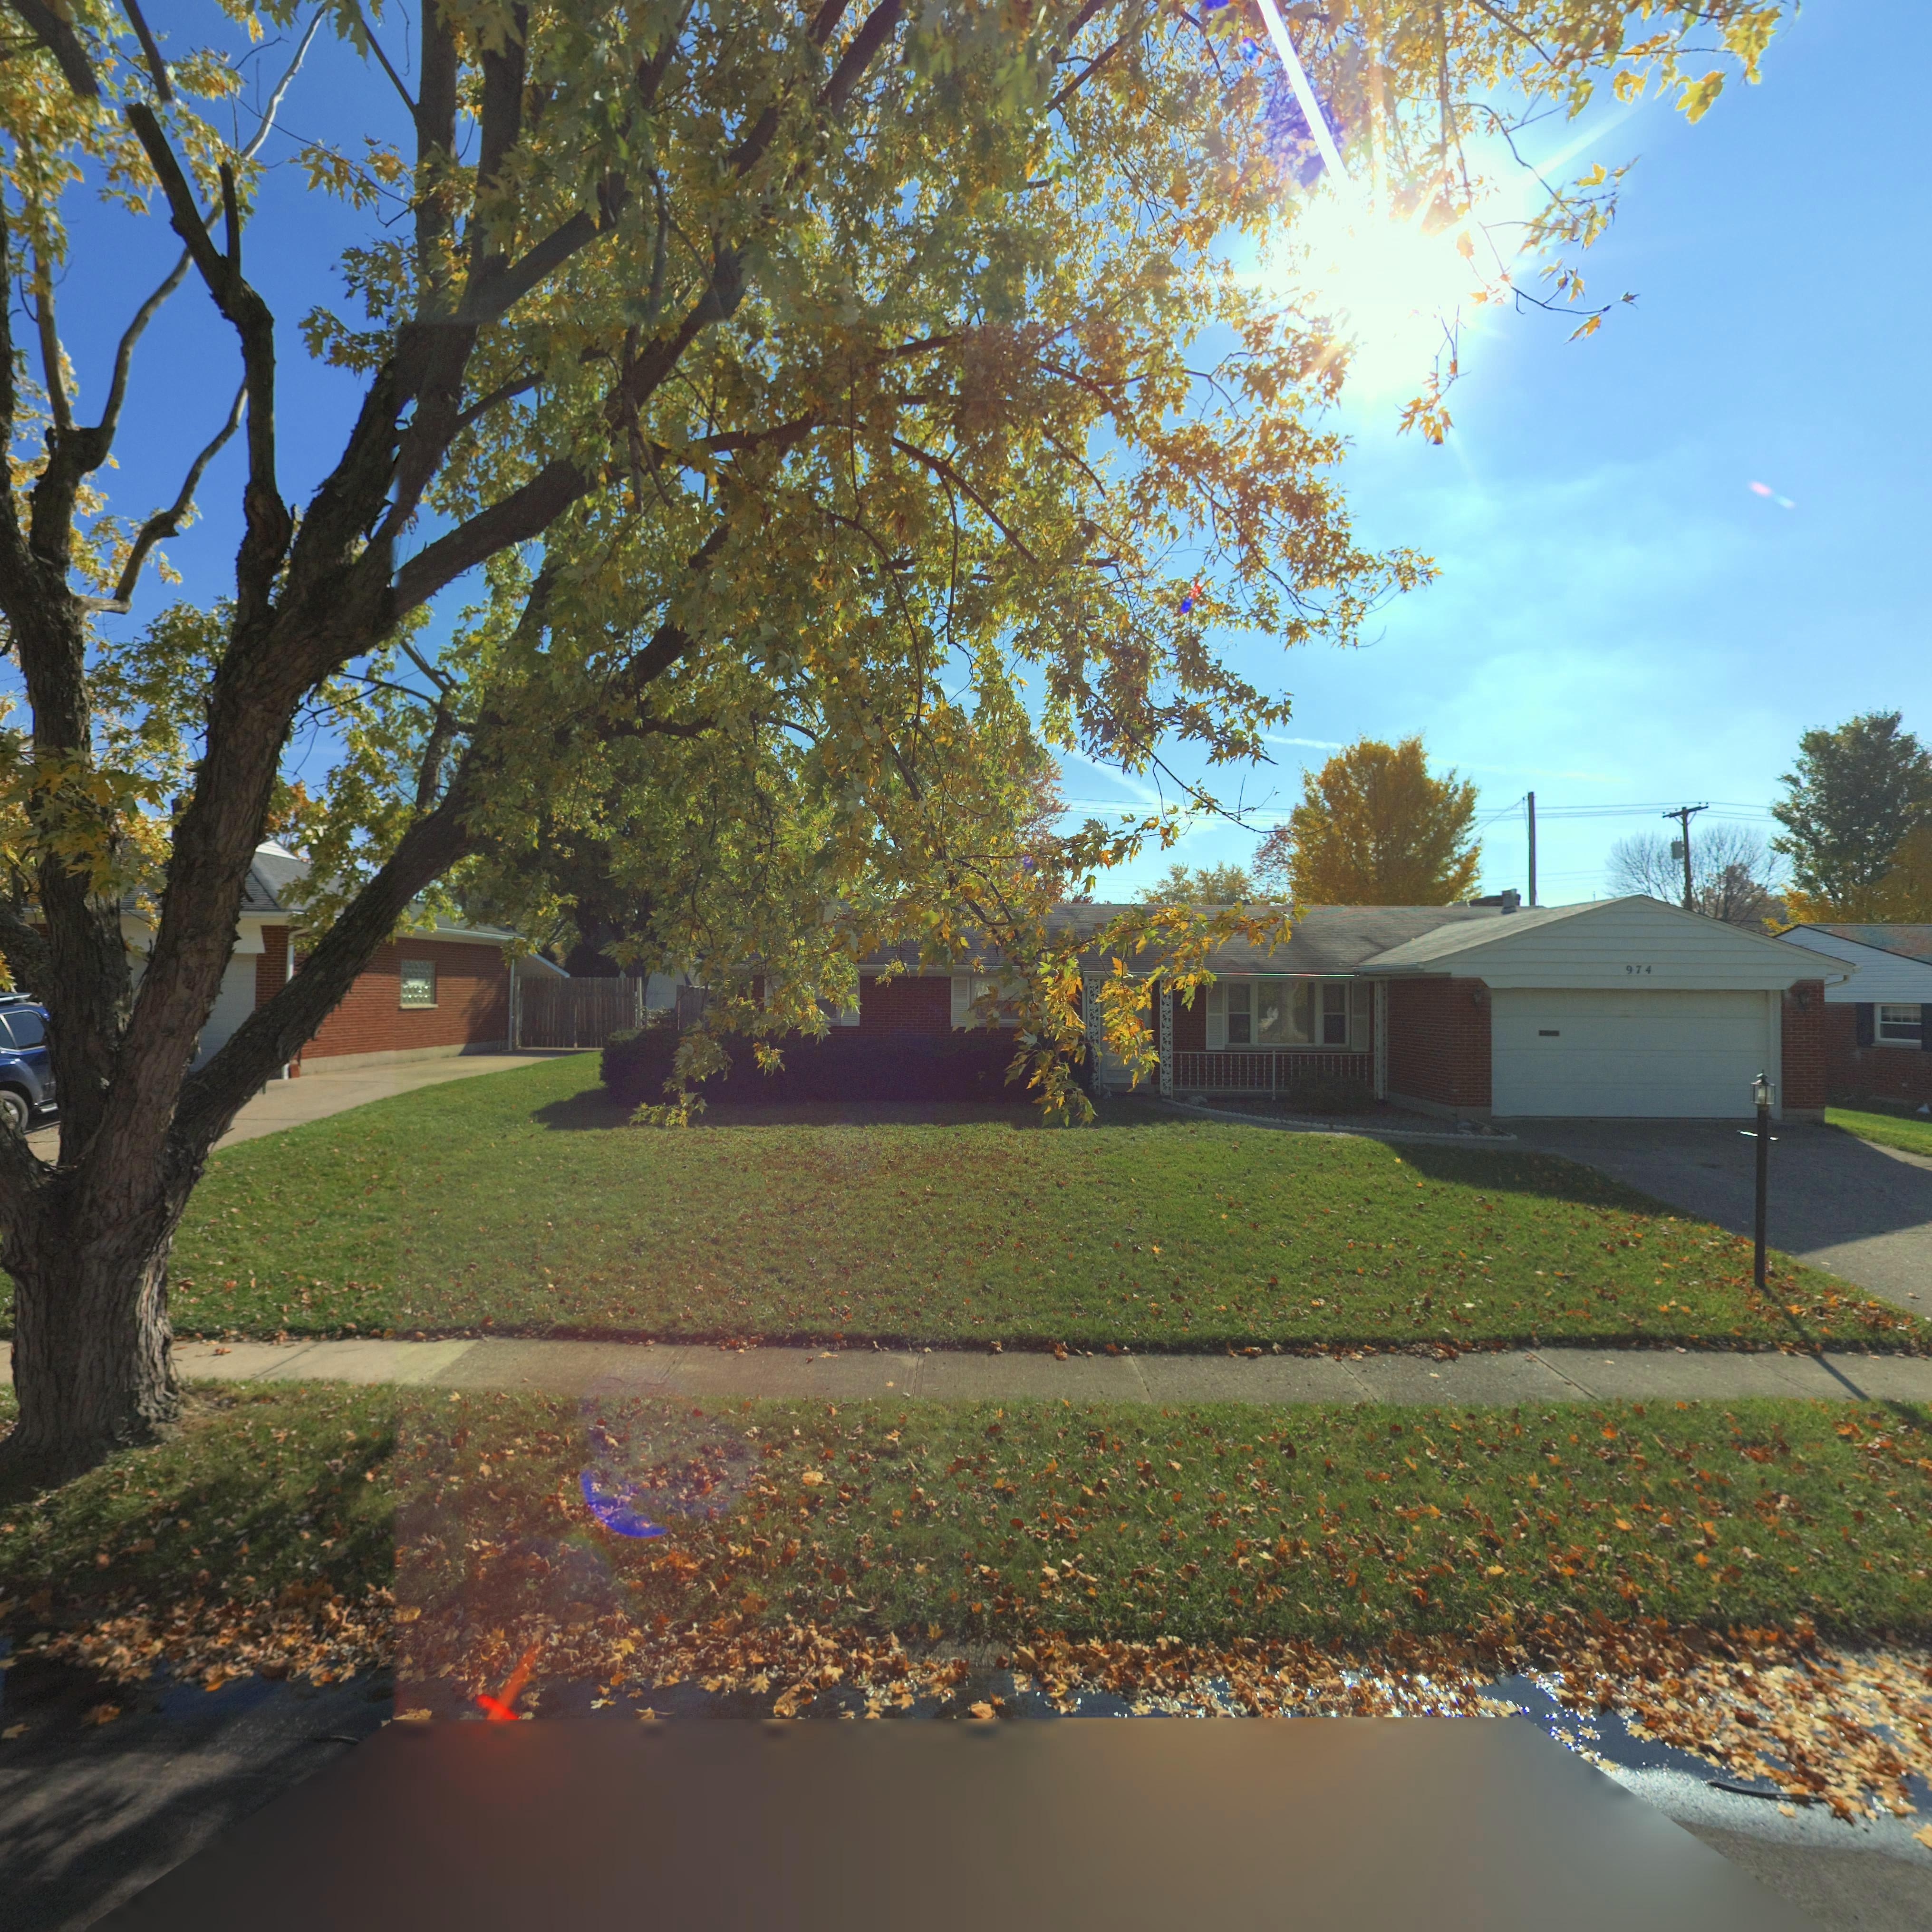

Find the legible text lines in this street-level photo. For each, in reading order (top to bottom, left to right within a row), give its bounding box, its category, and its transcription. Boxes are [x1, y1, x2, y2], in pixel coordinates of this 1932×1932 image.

[1625, 964, 1653, 976] StreetNumber: 974